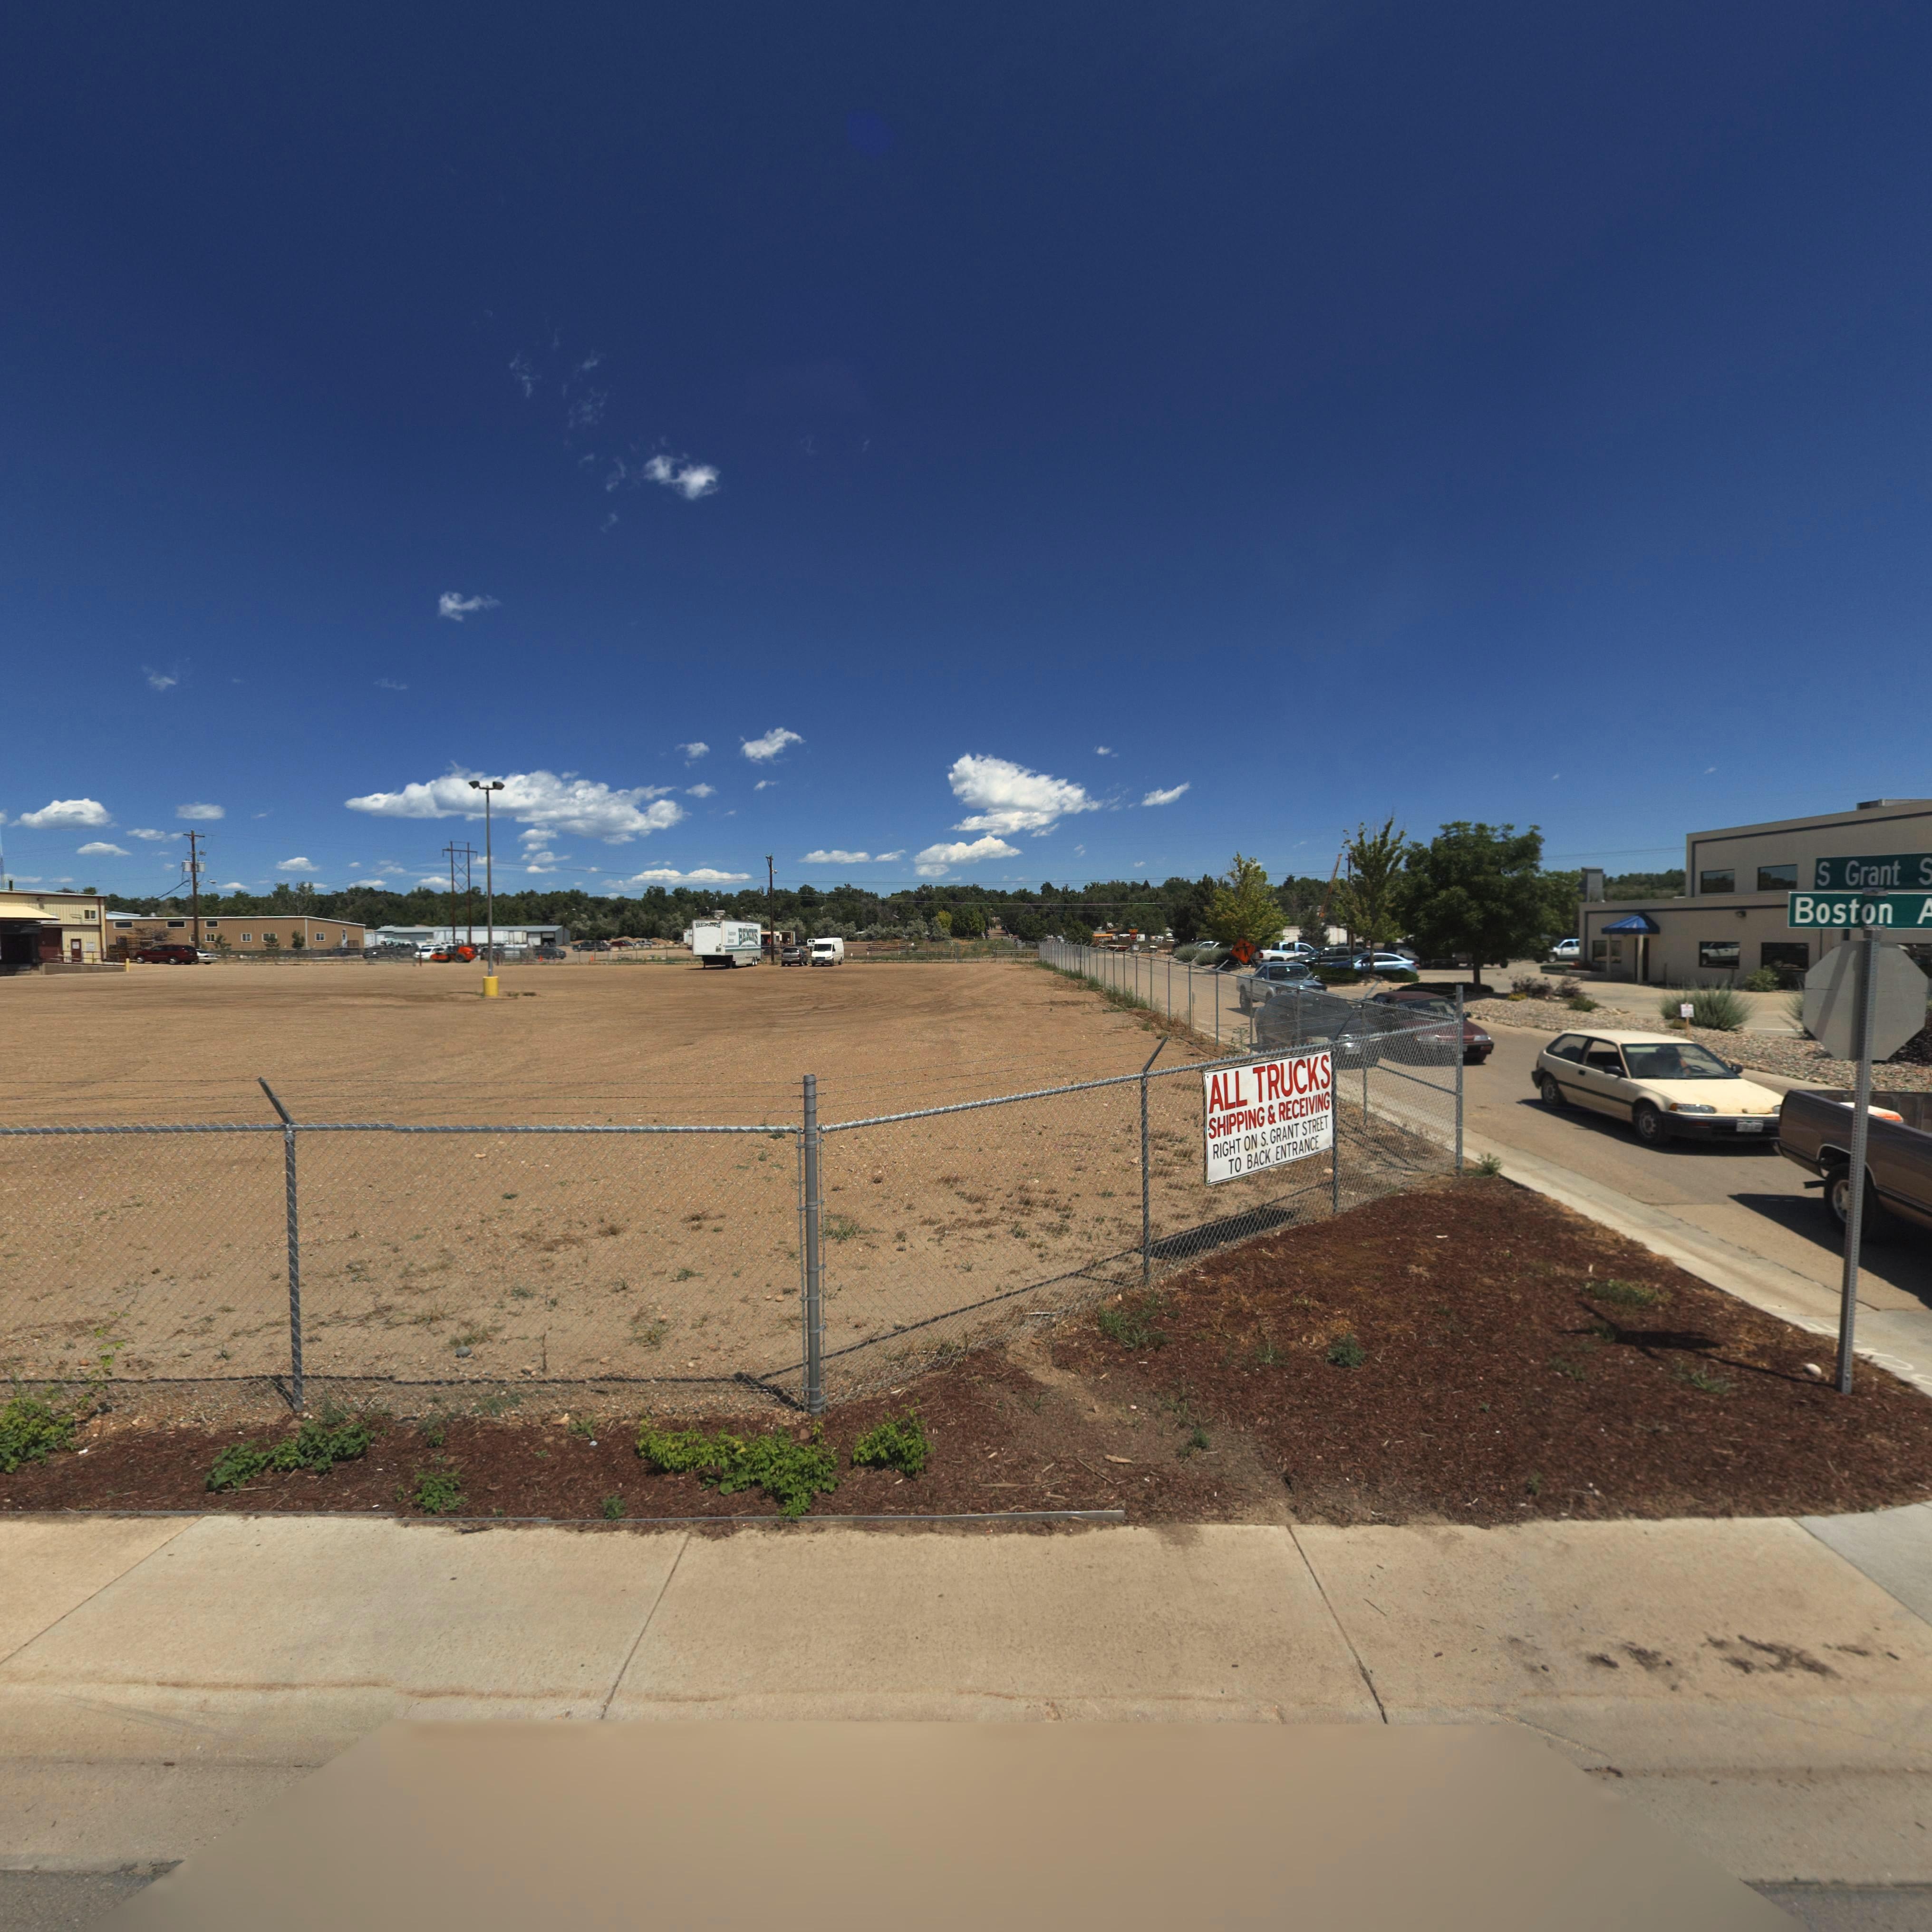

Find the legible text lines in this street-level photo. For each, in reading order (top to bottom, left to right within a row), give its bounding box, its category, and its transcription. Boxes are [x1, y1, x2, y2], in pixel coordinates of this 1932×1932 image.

[1816, 858, 1903, 887] BusinessName: S Grant
[1794, 895, 1893, 925] StreetName: Boston